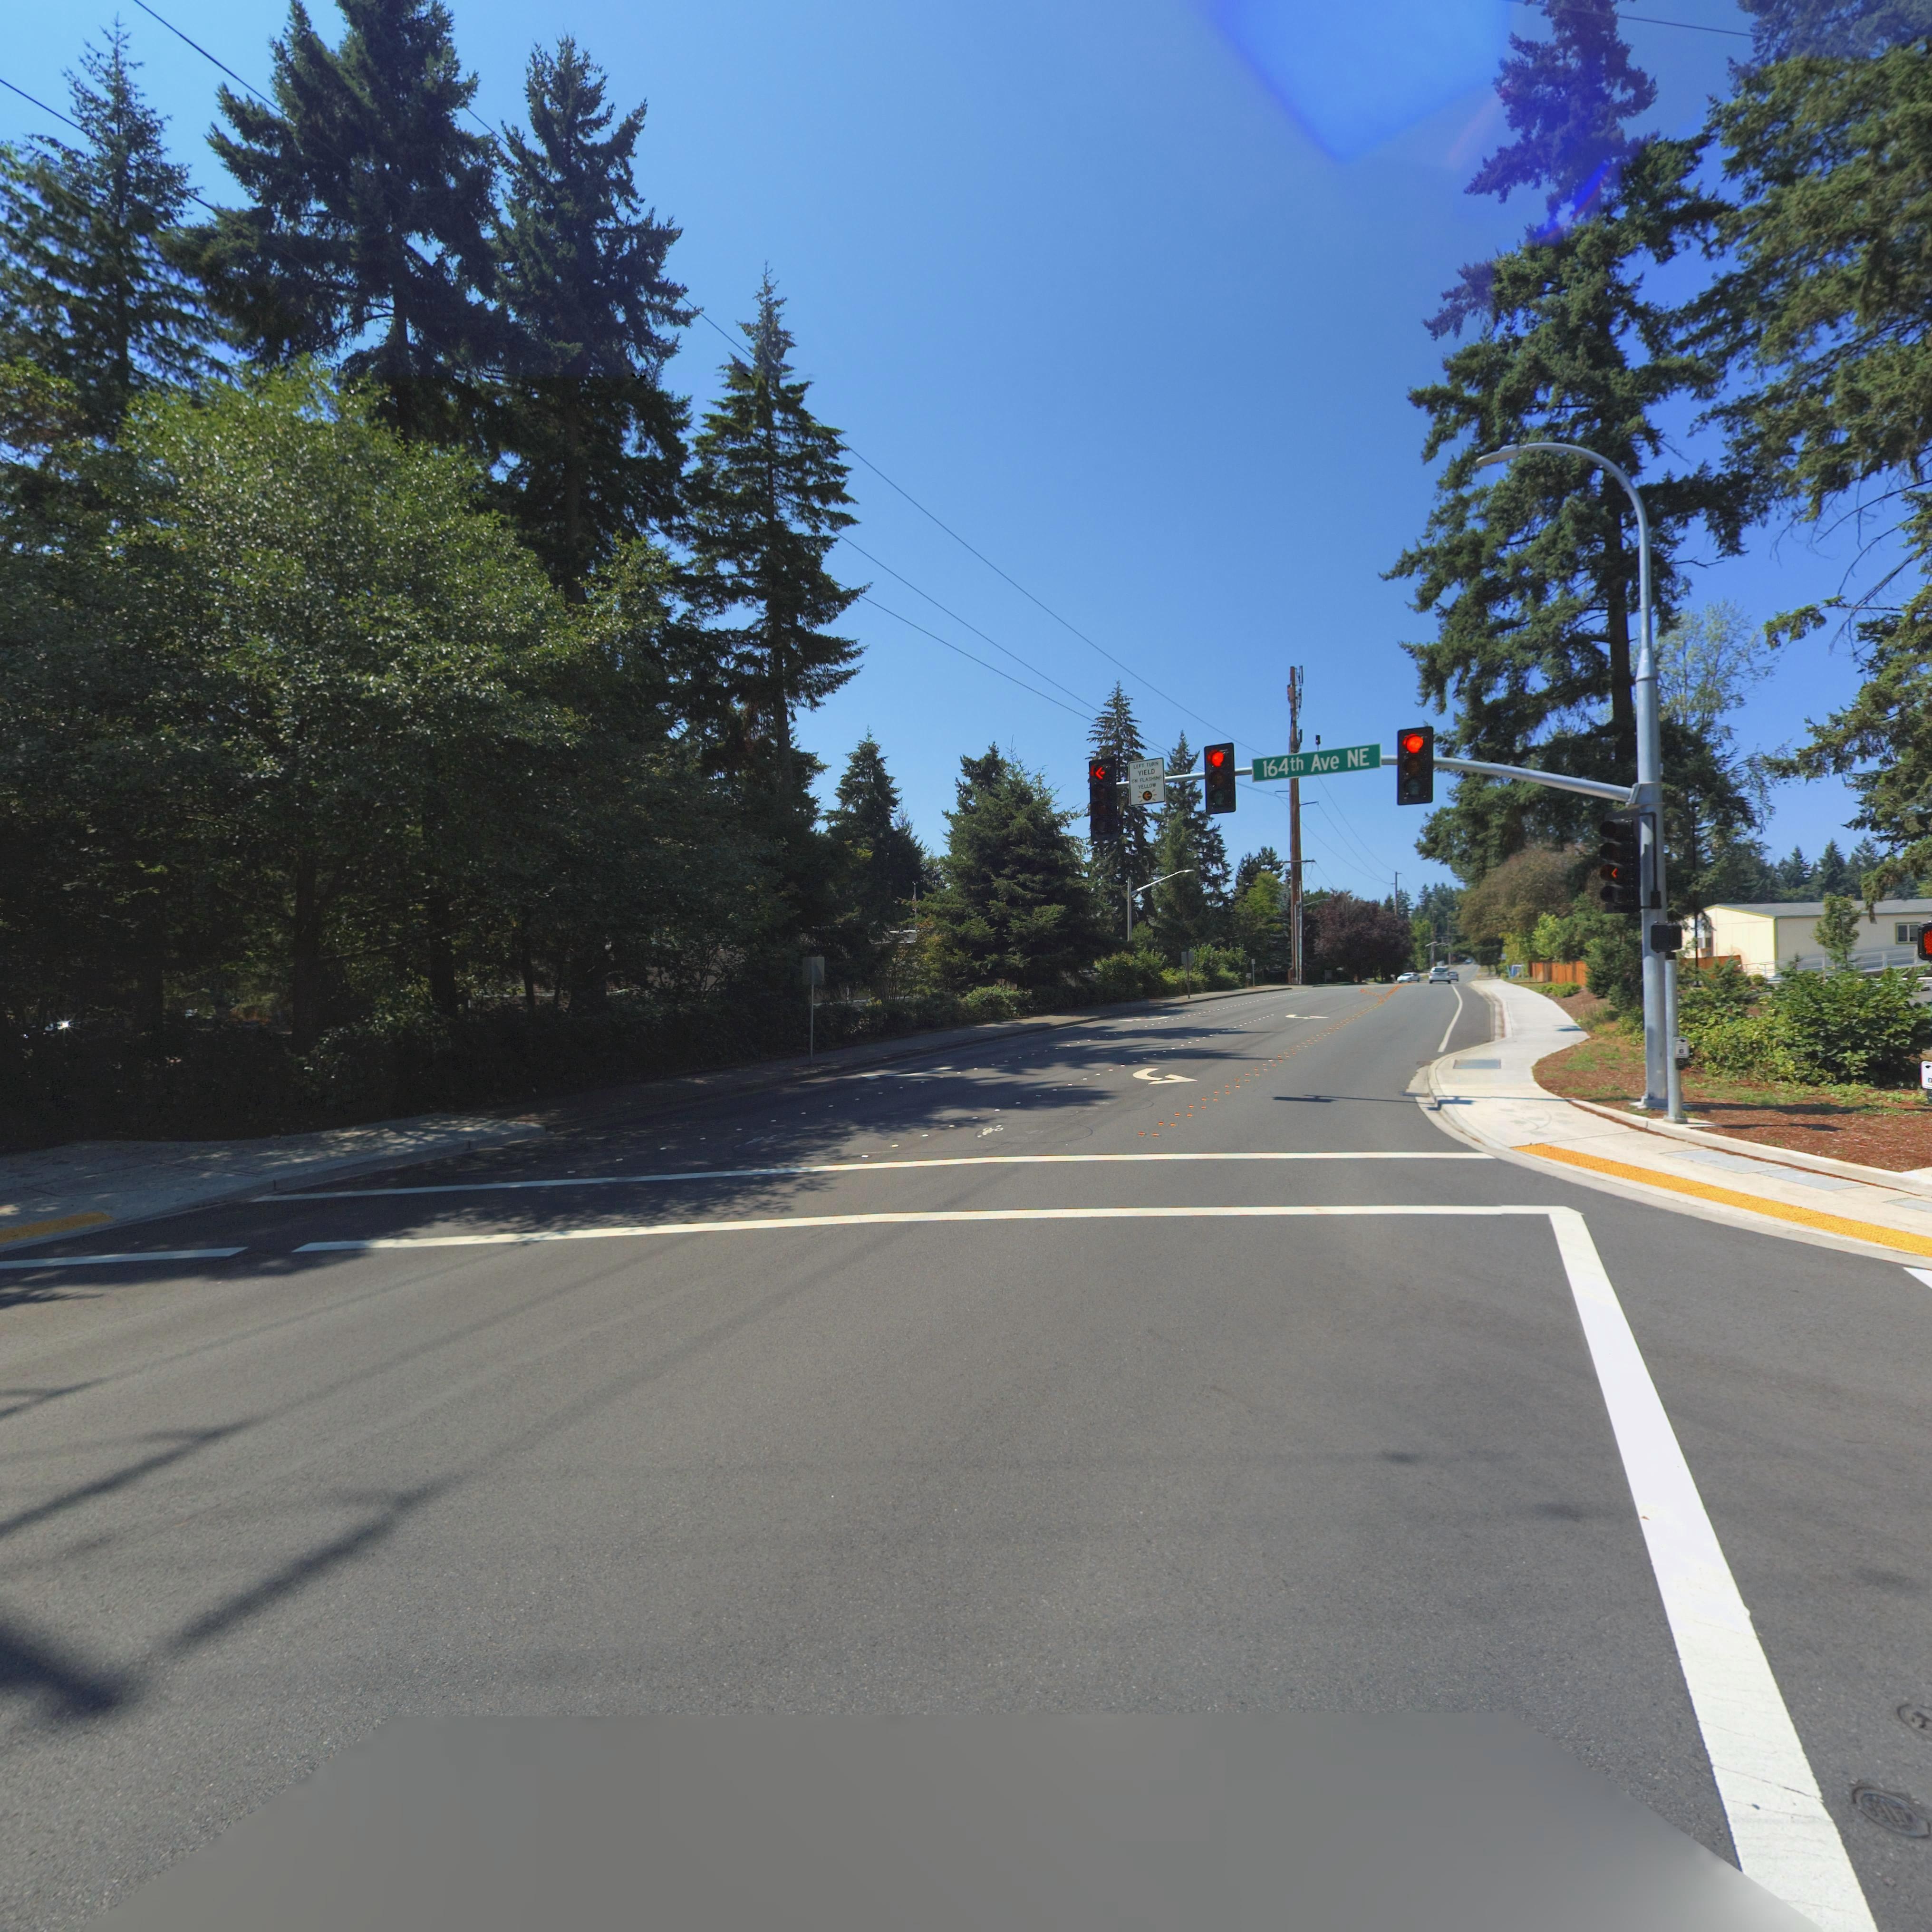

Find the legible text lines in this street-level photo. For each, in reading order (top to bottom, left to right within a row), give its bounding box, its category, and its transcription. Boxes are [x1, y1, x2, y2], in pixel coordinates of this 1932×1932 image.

[1262, 745, 1371, 779] StreetName: 164th Ave NE